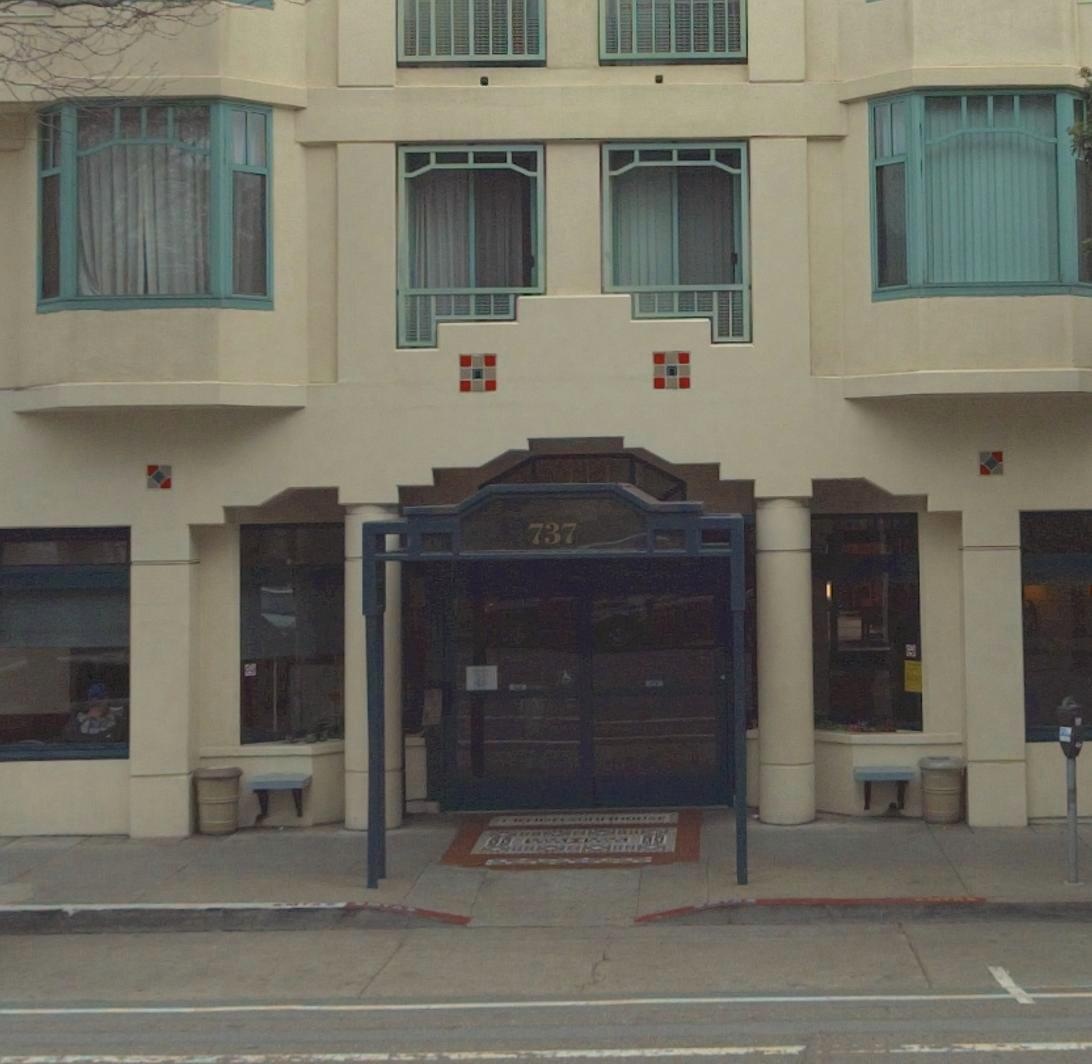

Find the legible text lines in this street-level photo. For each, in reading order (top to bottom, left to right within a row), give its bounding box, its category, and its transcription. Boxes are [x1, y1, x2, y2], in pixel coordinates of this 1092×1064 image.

[526, 519, 581, 547] StreetNumber: 737